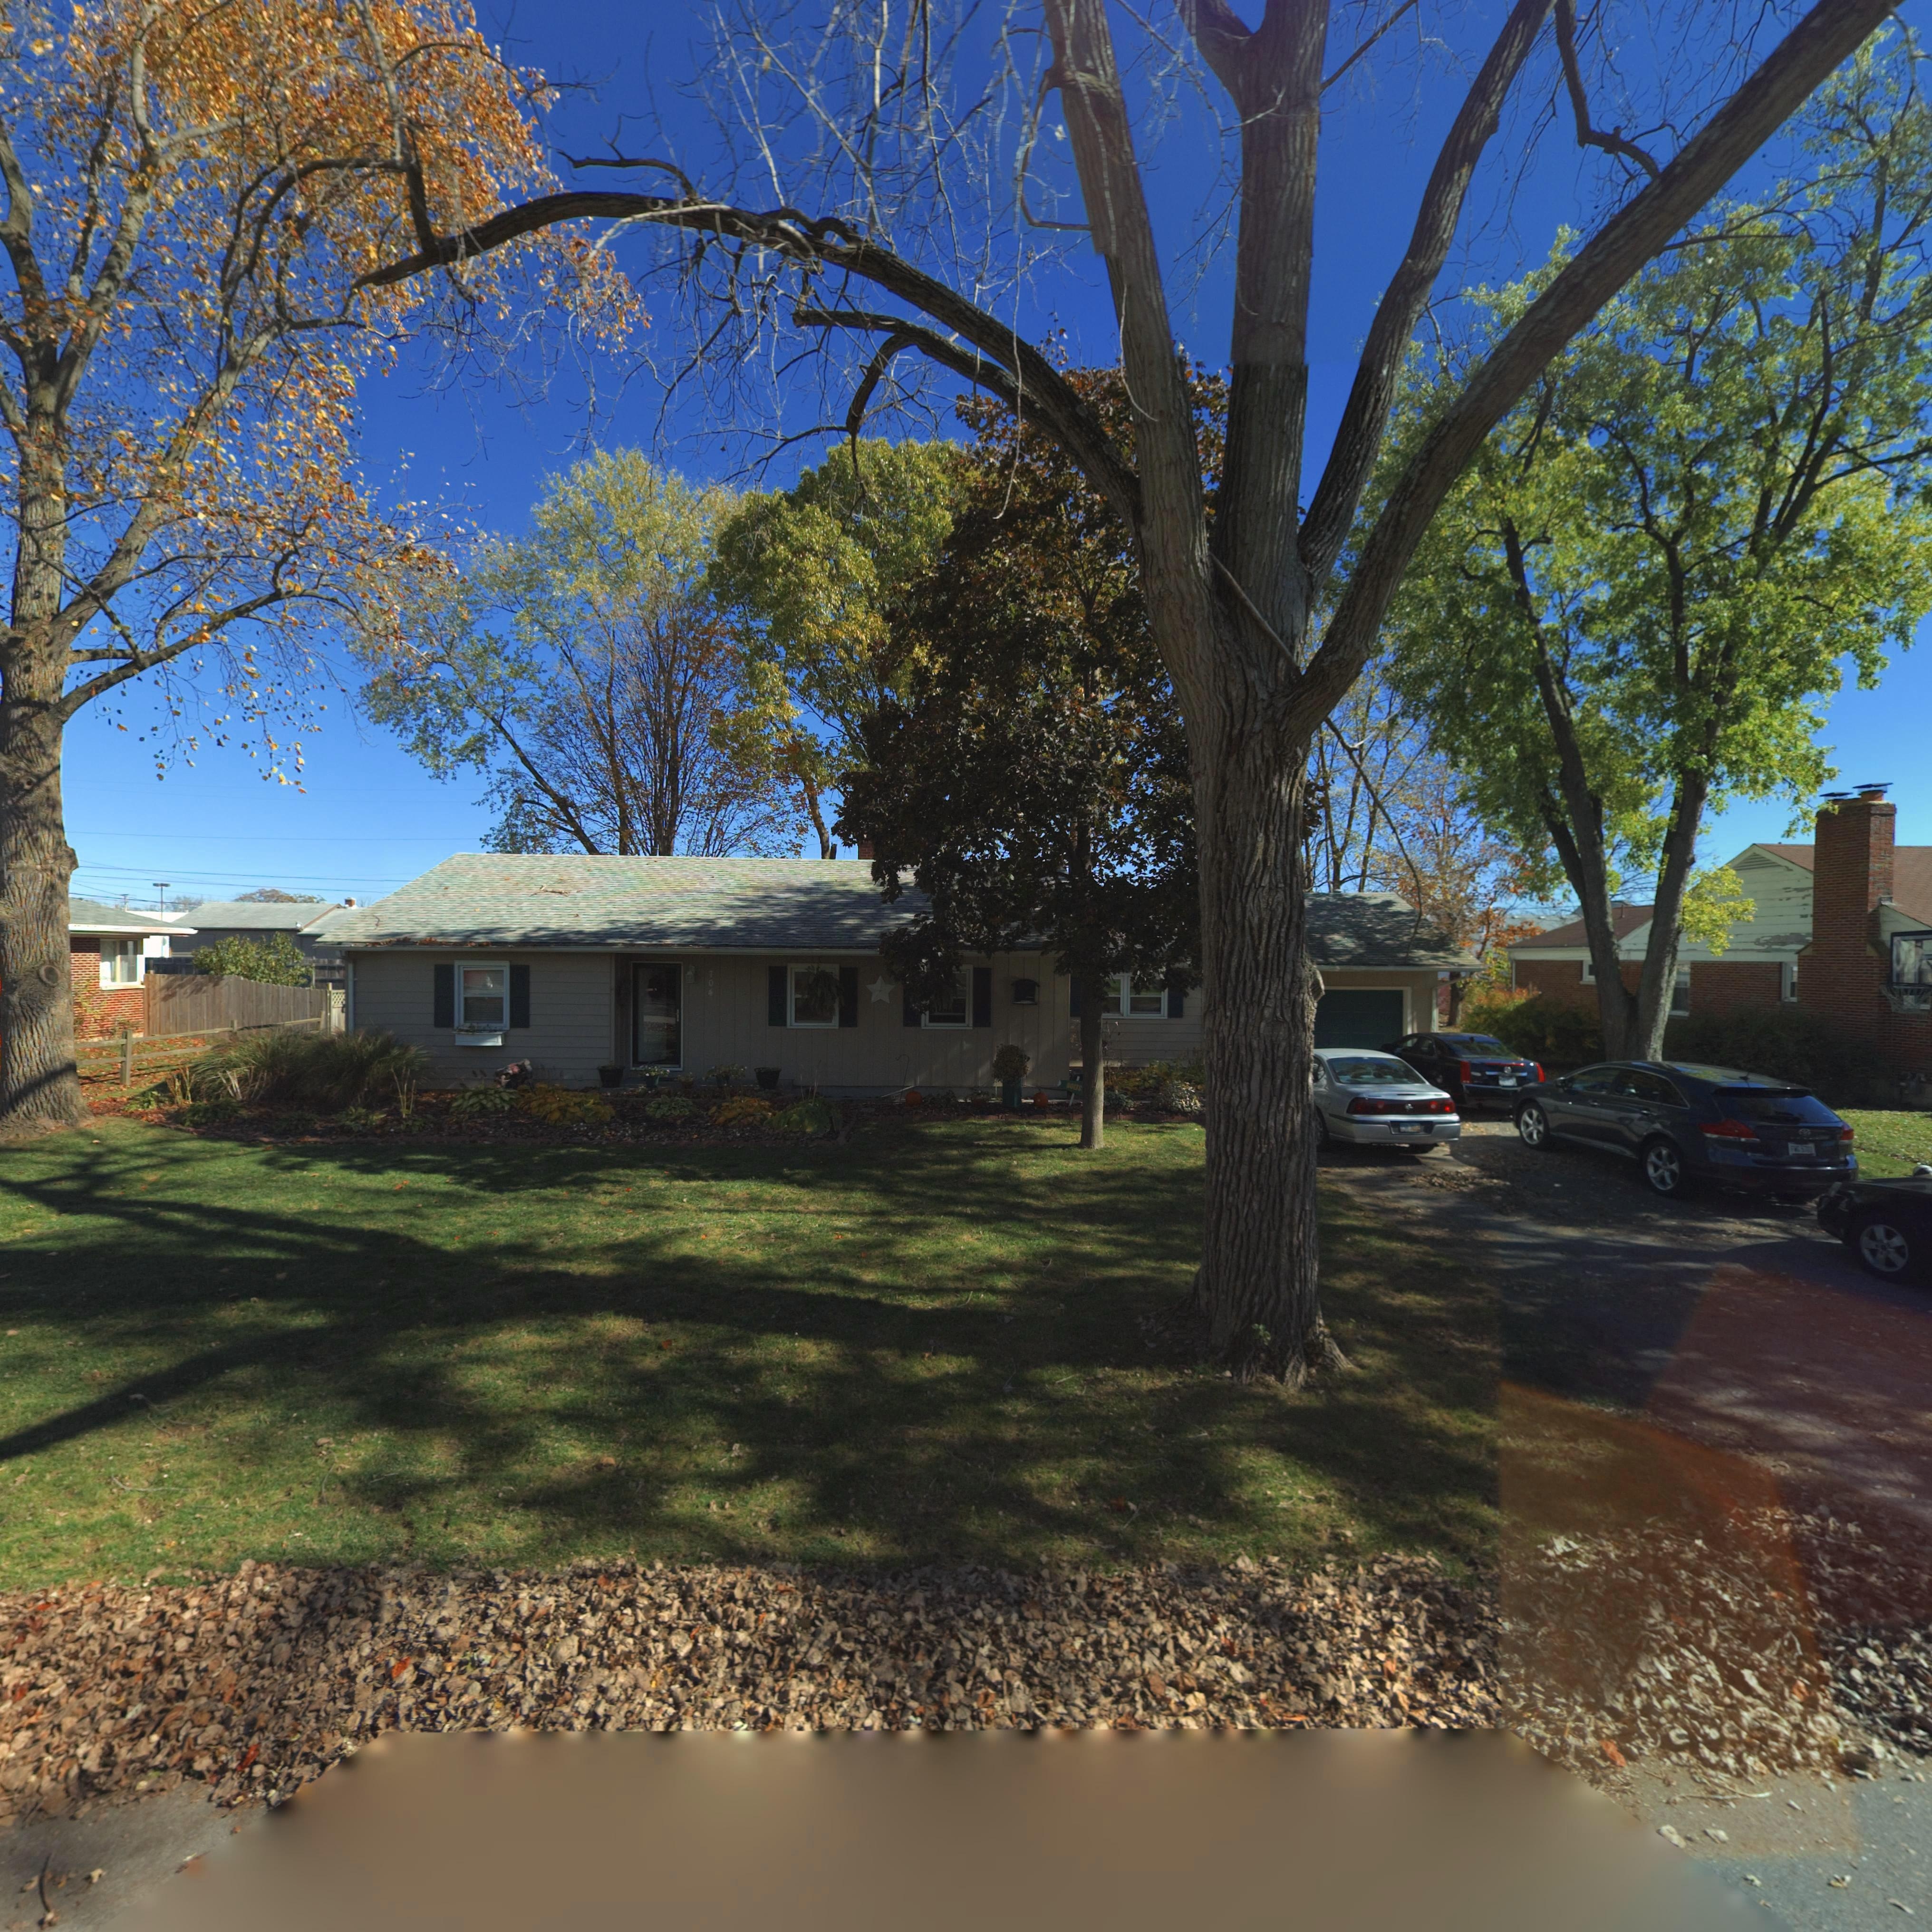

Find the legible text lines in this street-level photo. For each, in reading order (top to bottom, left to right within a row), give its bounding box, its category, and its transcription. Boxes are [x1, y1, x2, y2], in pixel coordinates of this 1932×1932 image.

[708, 970, 714, 996] StreetNumber: 704